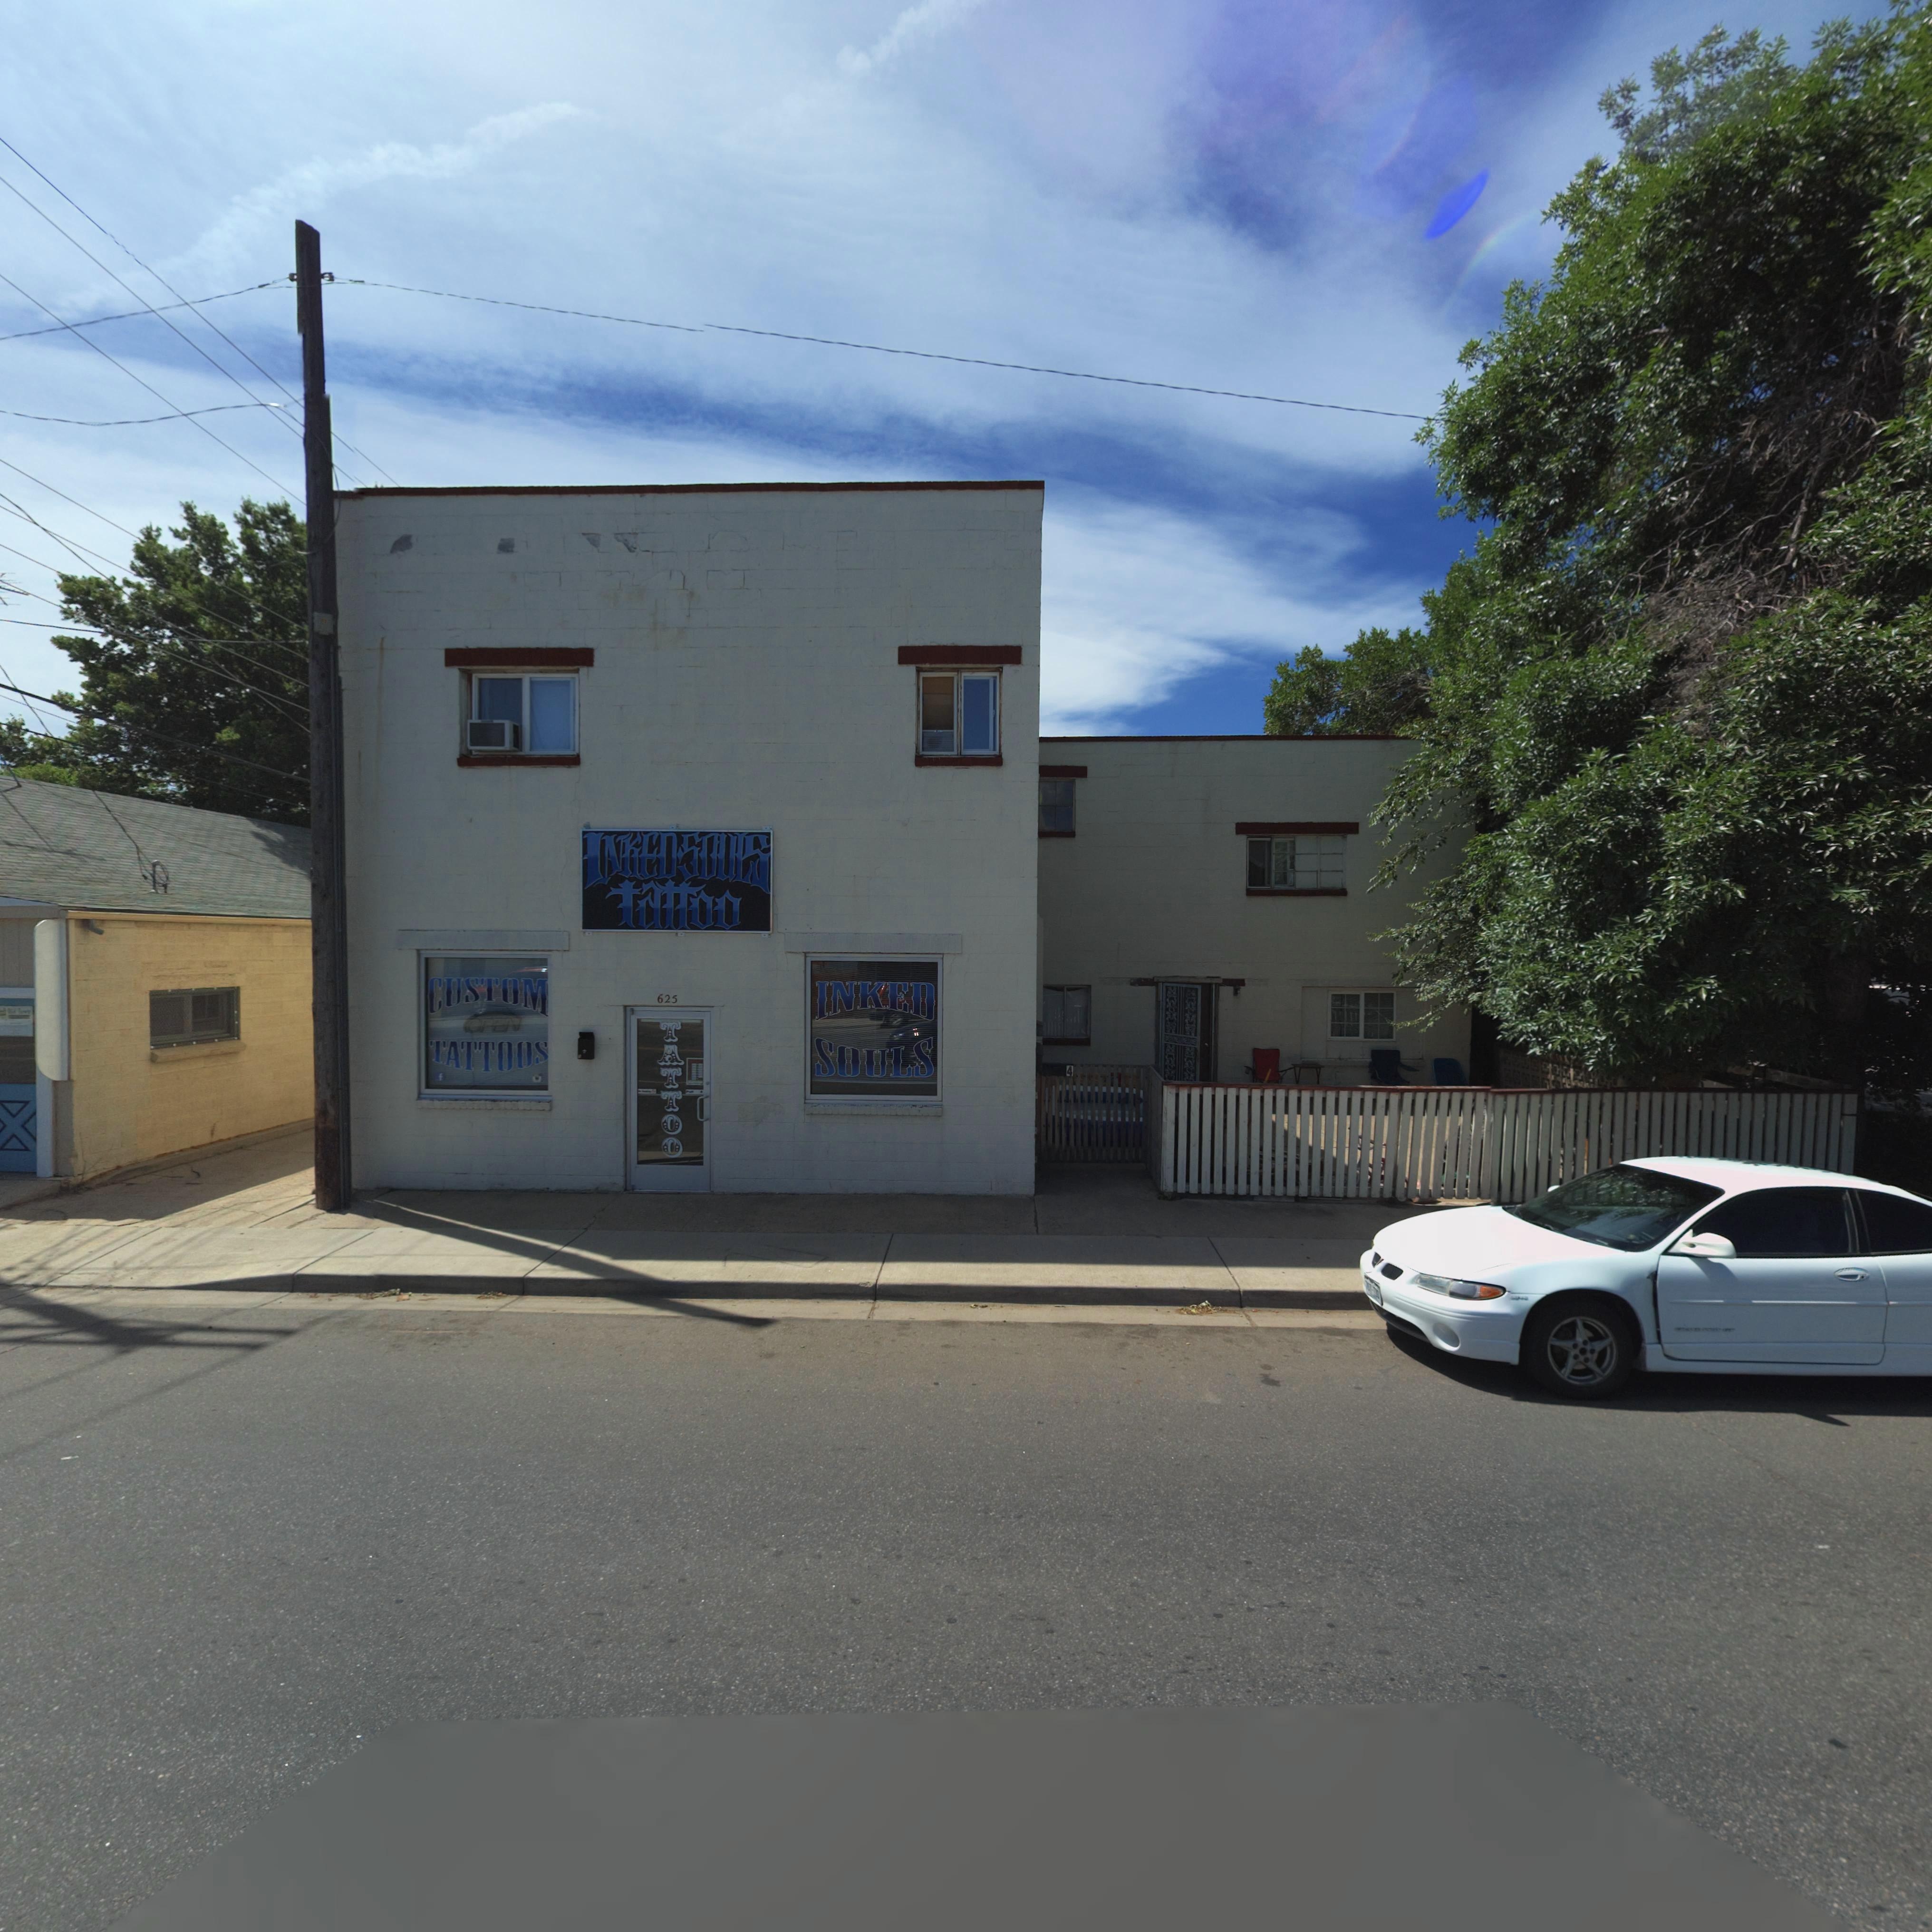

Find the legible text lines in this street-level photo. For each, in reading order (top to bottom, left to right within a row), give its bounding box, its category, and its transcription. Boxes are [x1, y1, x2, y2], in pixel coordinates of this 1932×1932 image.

[581, 830, 771, 895] BusinessName: INKED*SOULS
[603, 878, 744, 931] BusinessName: TaTTOO
[656, 993, 678, 1004] StreetNumber: 625
[814, 981, 936, 1023] BusinessName: INKED
[813, 1035, 935, 1078] BusinessName: SOULS
[1066, 1065, 1072, 1076] StreetNumber: 4